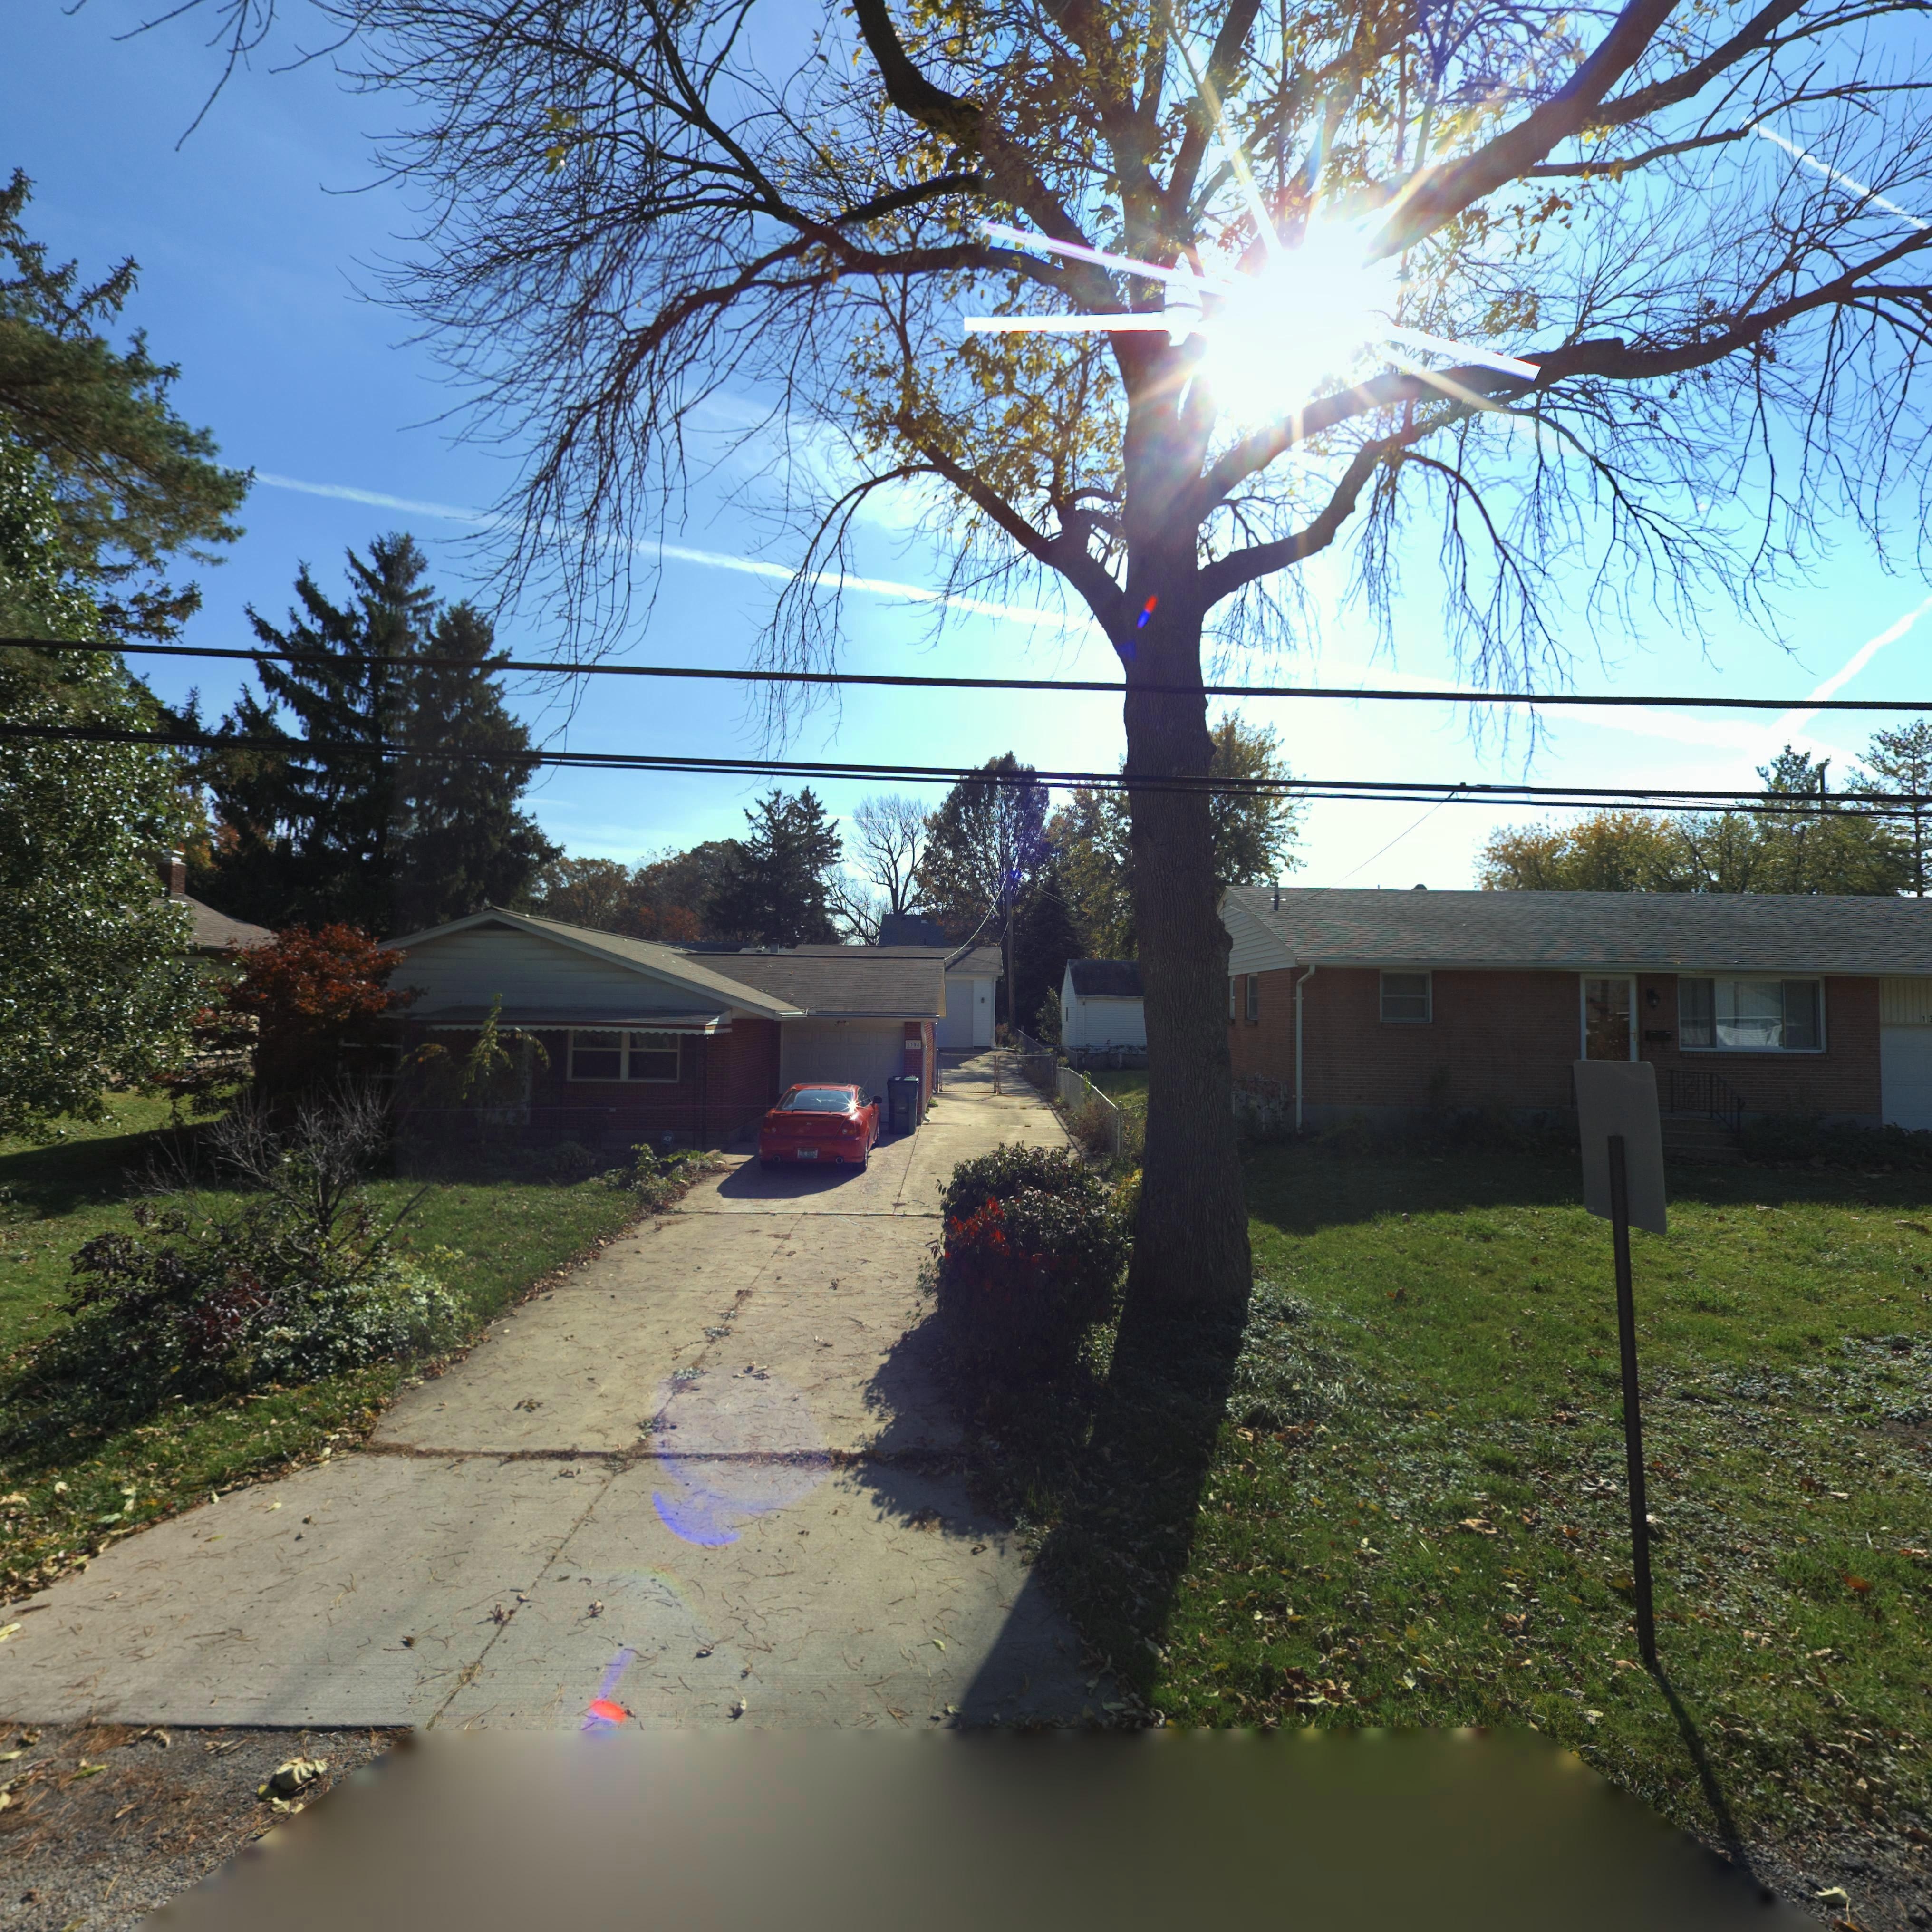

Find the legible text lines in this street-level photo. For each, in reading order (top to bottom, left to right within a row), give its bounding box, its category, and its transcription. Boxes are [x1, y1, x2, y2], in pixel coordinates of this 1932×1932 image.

[1922, 1015, 1926, 1023] StreetNumber: 1
[907, 1042, 919, 1047] StreetNumber: 1304
[662, 1135, 673, 1143] None: ADT
[798, 1150, 817, 1157] None: EDL 6652